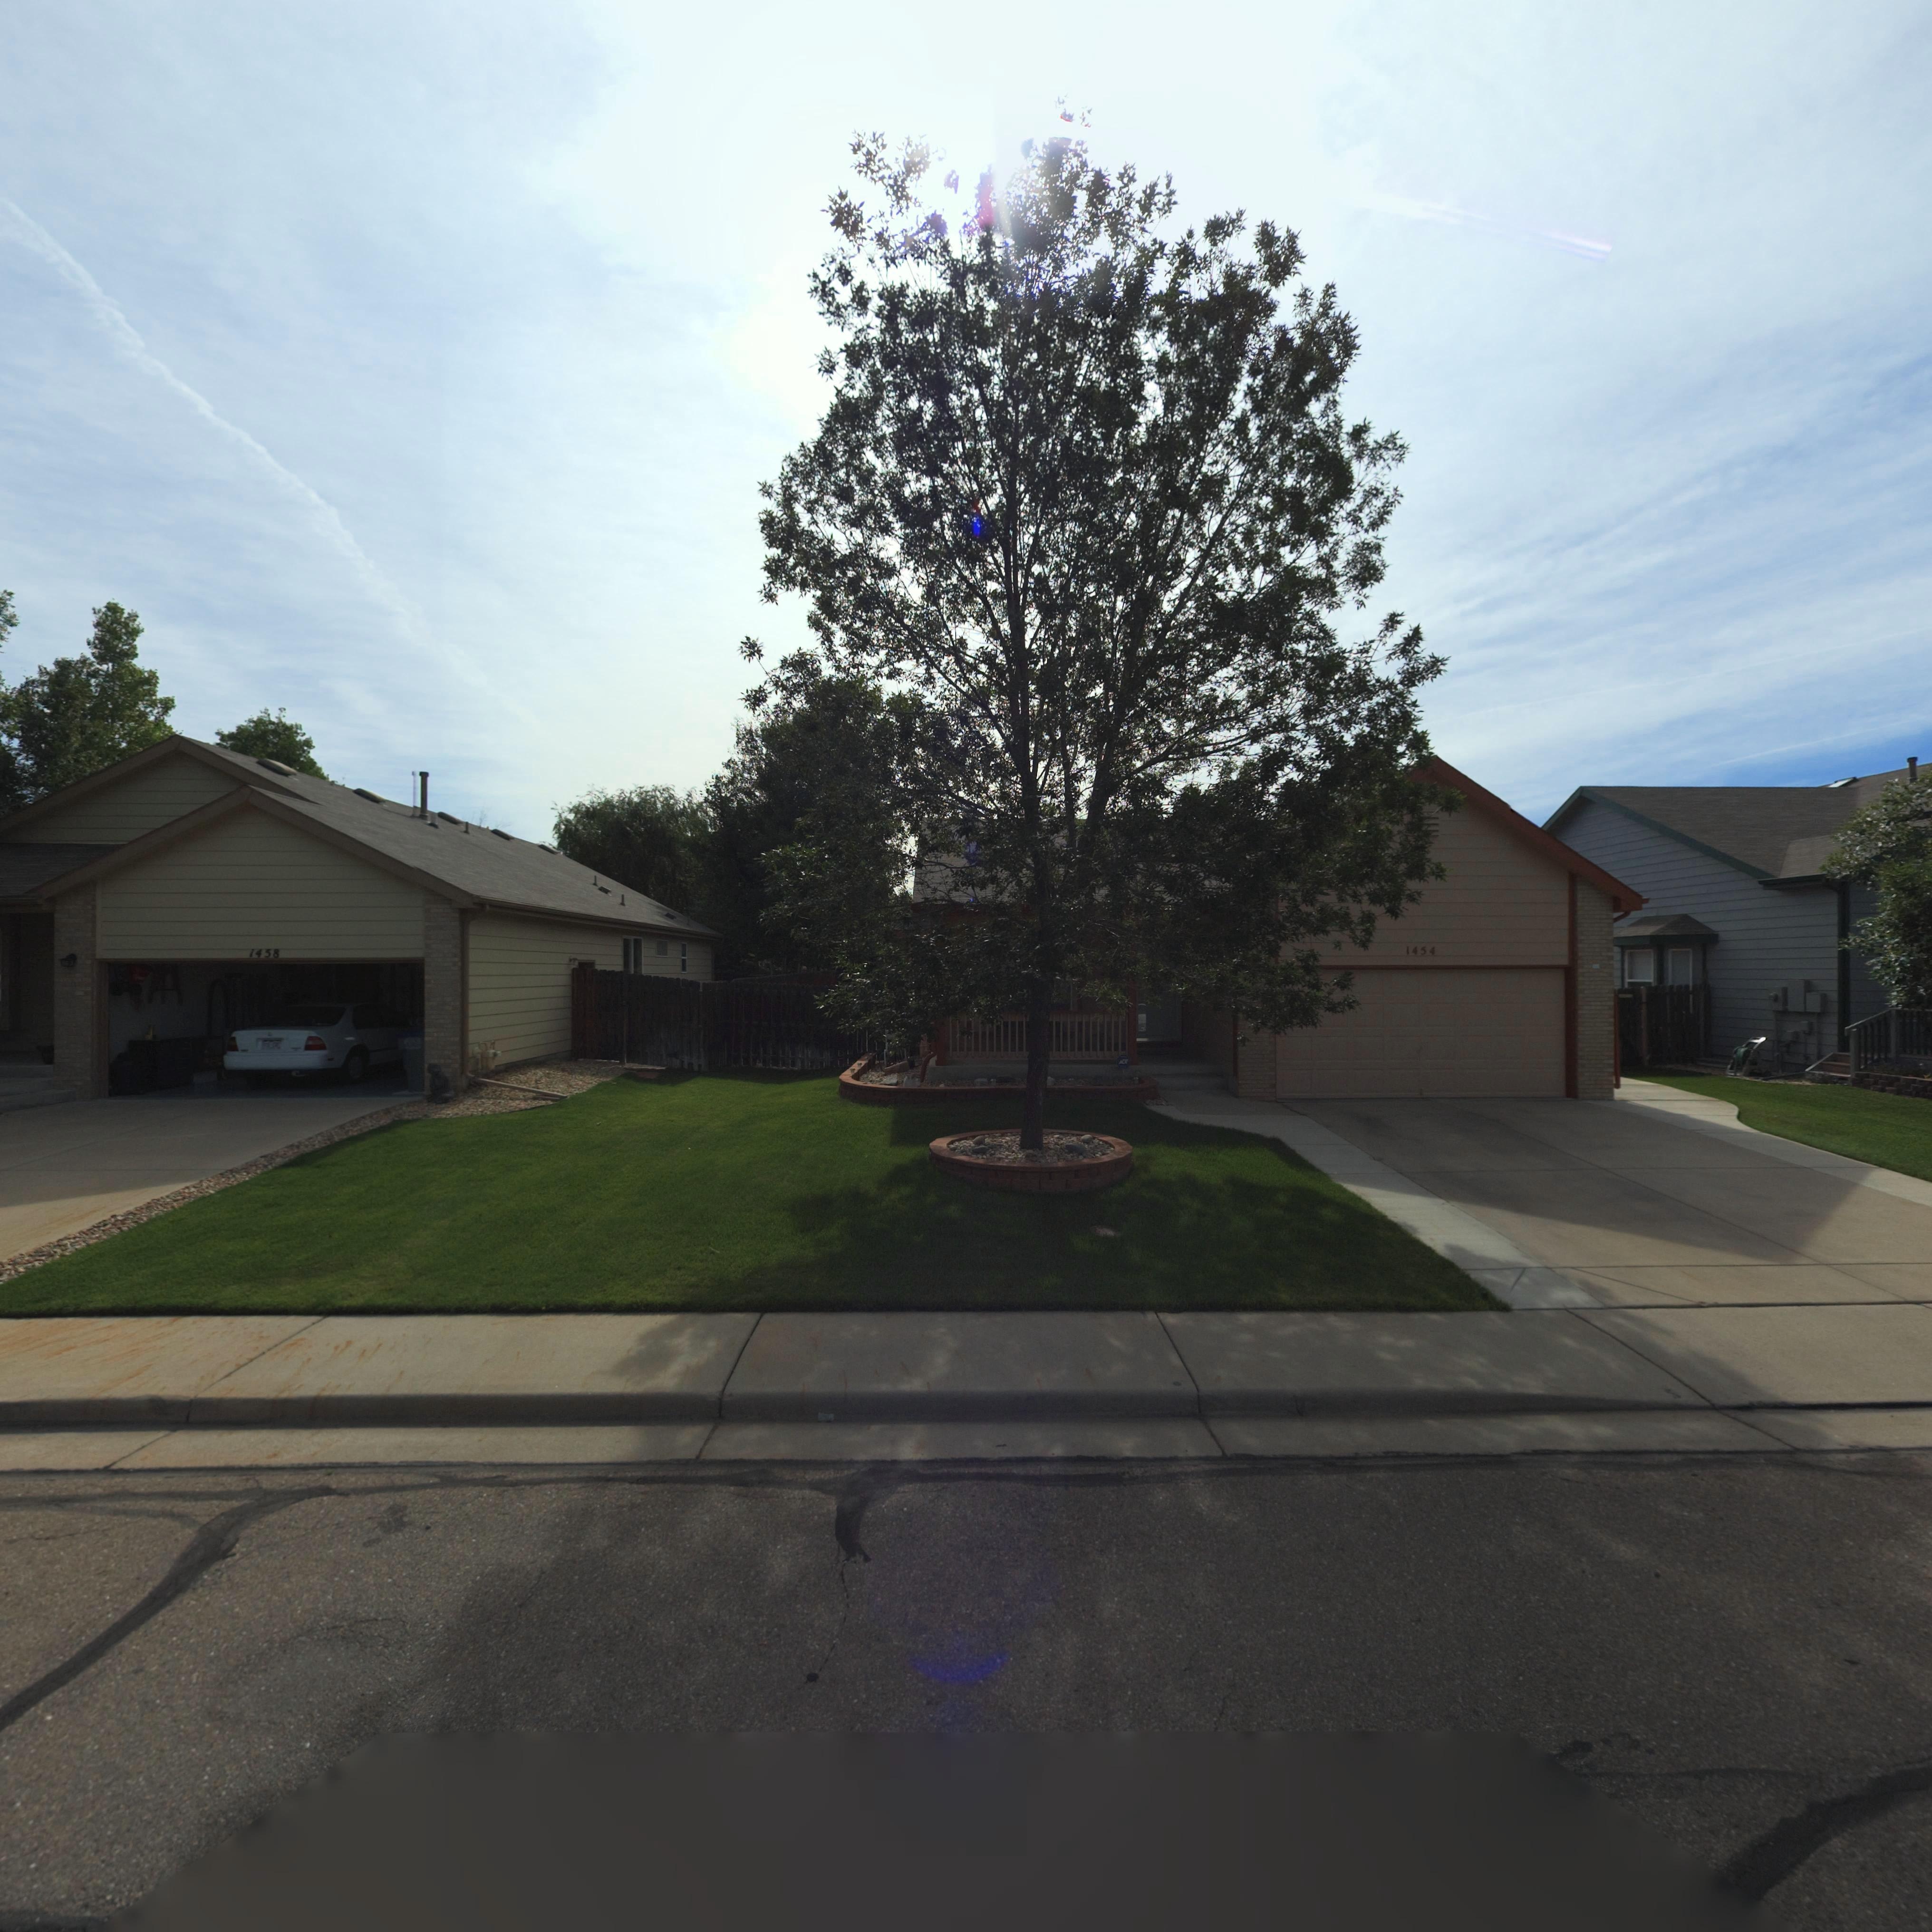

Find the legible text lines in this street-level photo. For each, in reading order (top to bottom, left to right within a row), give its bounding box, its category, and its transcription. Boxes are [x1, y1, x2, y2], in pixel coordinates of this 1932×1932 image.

[250, 949, 279, 959] StreetNumber: 1458
[1405, 945, 1436, 956] StreetNumber: 1454